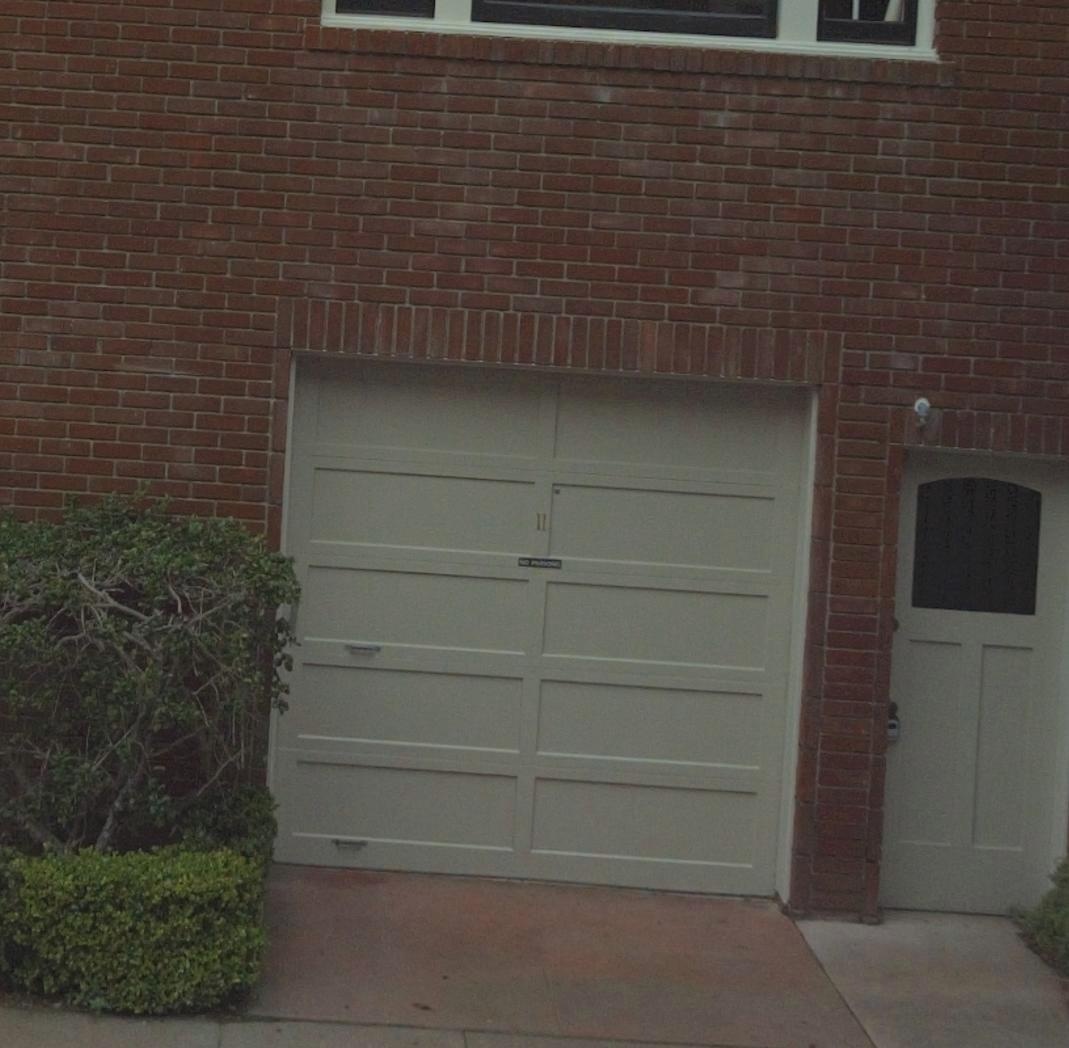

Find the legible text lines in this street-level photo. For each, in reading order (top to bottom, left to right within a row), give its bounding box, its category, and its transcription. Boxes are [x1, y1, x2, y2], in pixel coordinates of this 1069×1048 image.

[535, 512, 548, 532] StreetNumber: 11